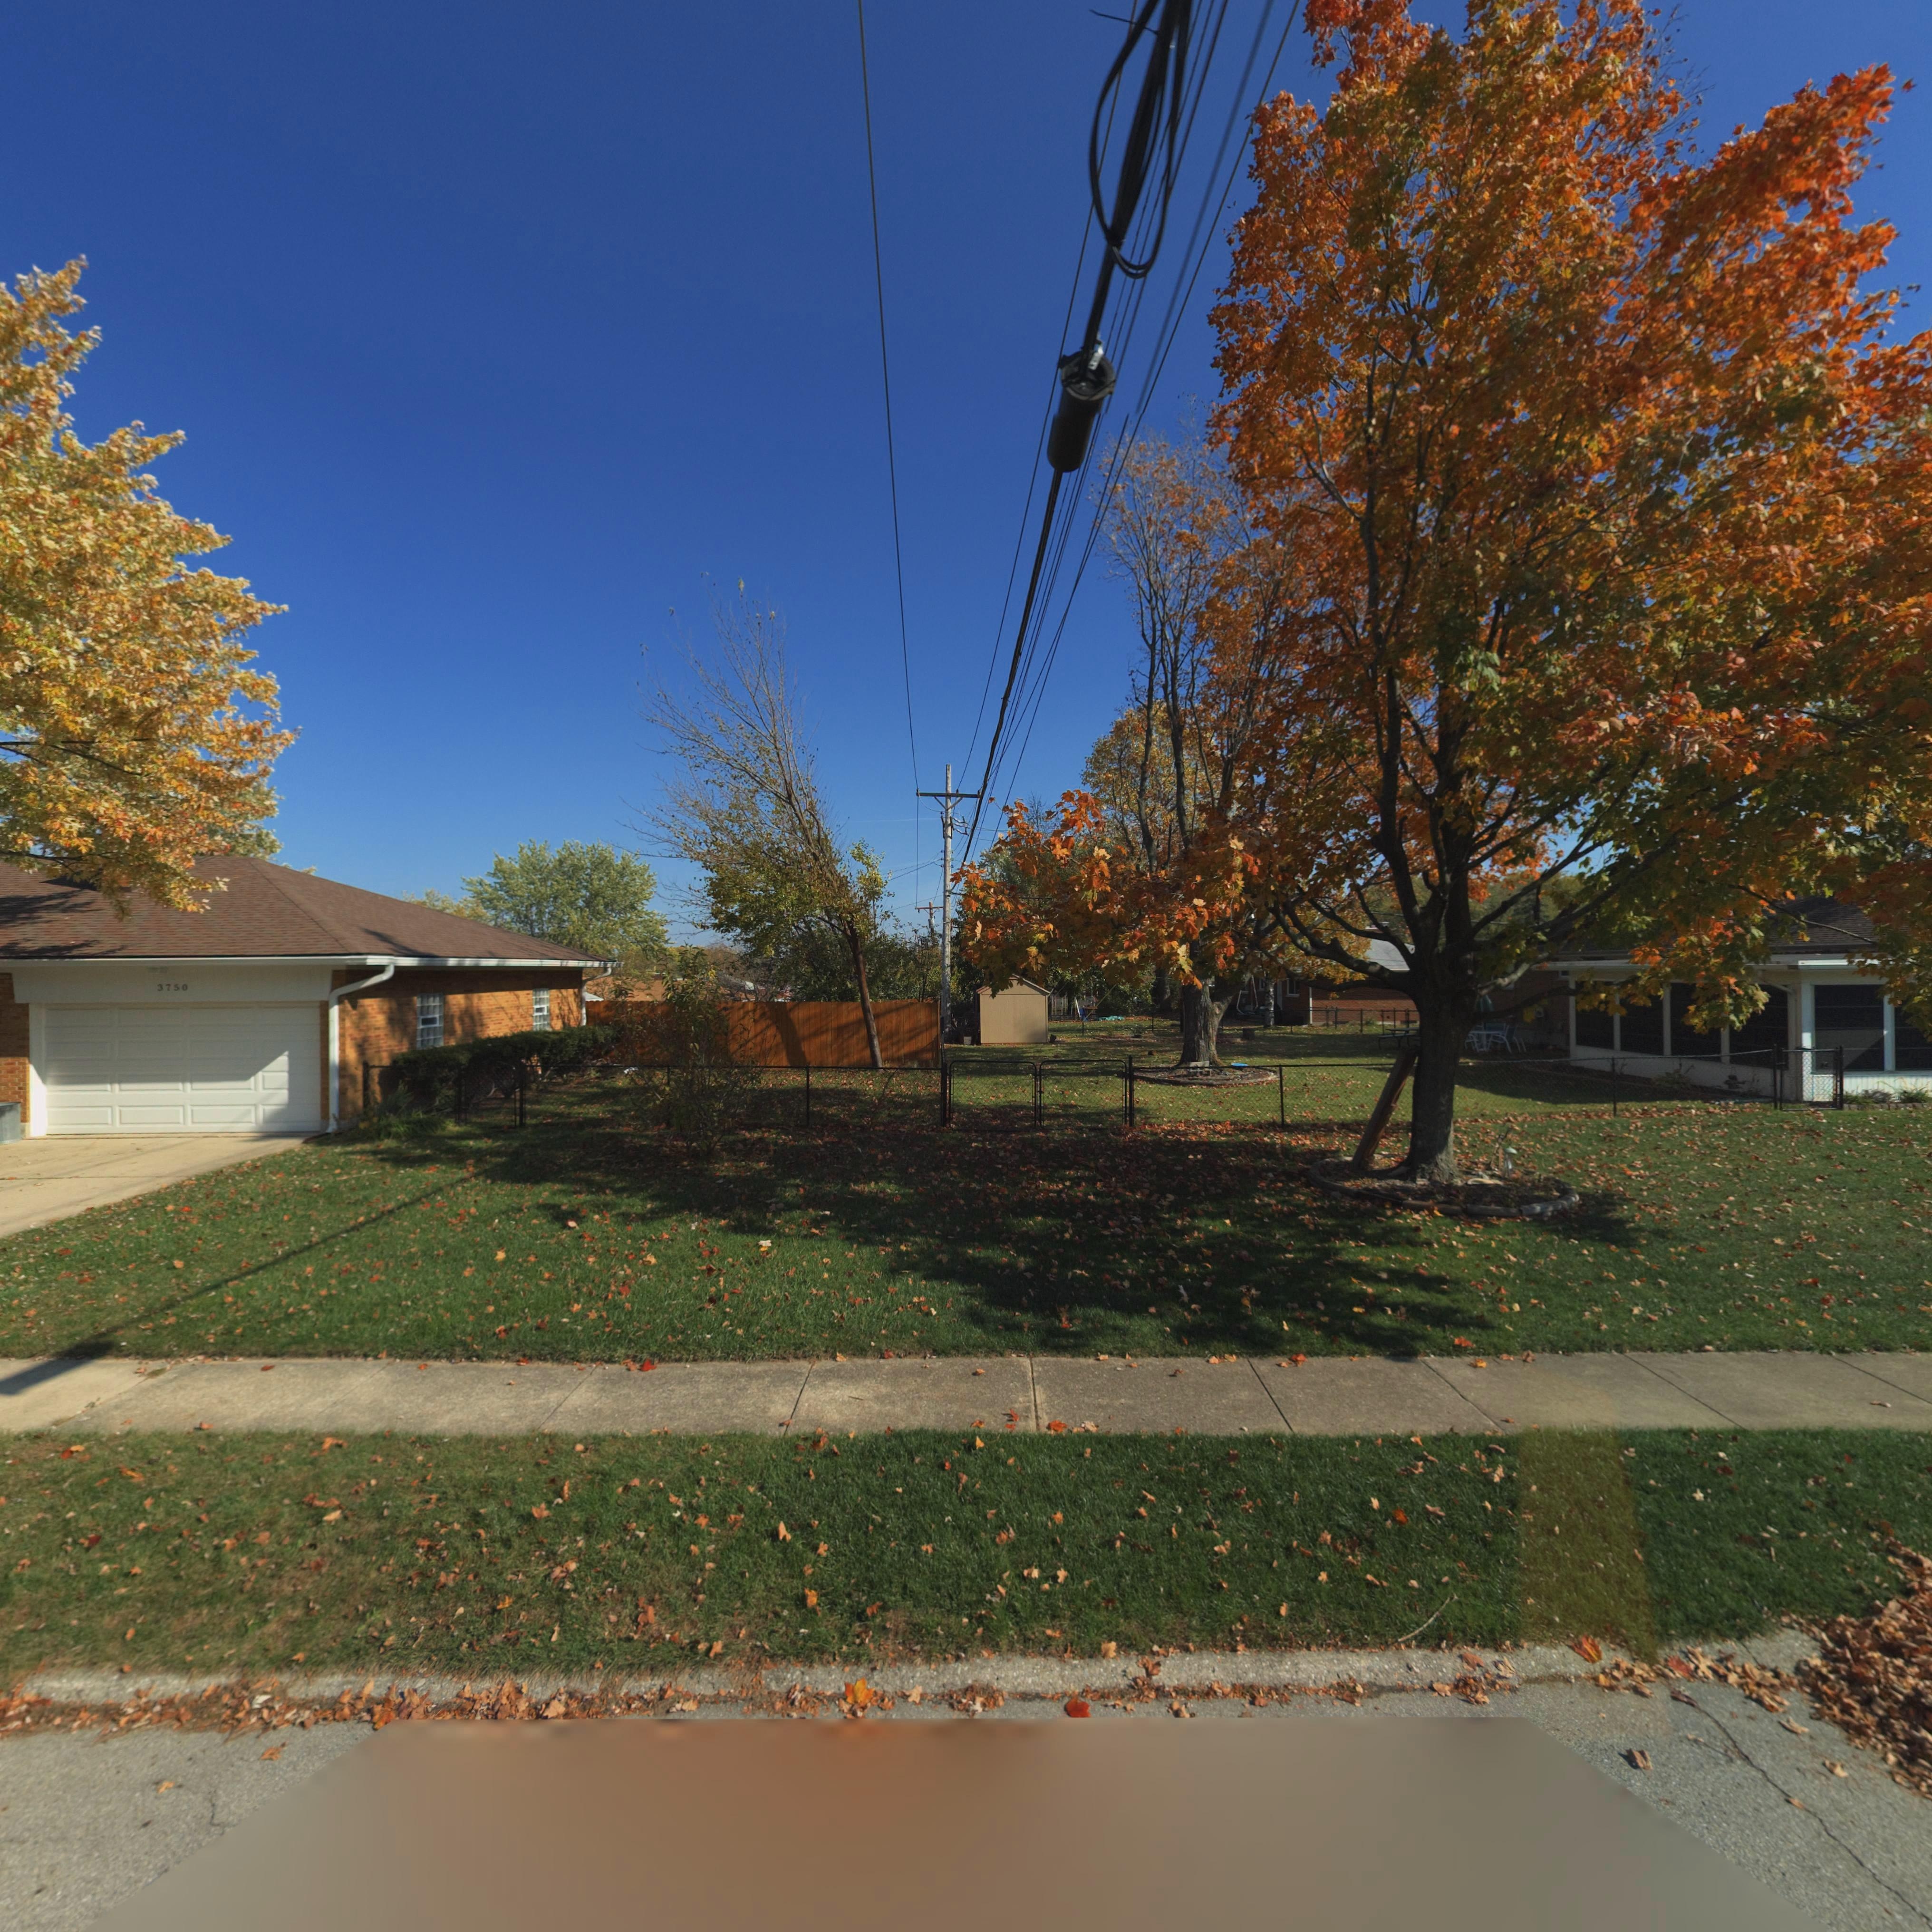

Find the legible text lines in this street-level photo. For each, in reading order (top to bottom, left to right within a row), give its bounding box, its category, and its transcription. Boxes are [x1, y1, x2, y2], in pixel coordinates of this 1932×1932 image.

[156, 983, 189, 991] StreetNumber: 3750